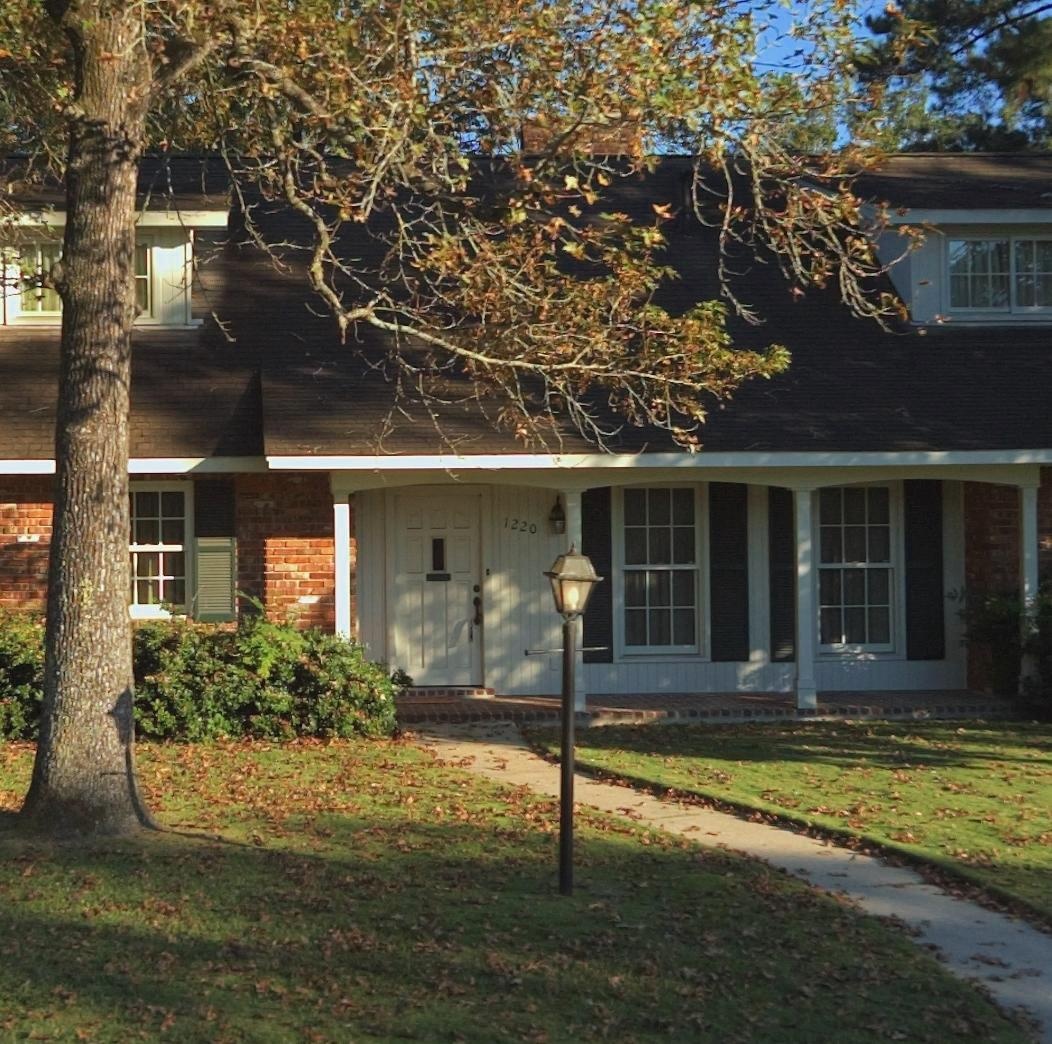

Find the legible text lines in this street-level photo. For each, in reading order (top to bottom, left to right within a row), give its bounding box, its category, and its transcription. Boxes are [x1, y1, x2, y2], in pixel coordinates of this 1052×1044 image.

[502, 515, 539, 537] StreetNumber: 1220